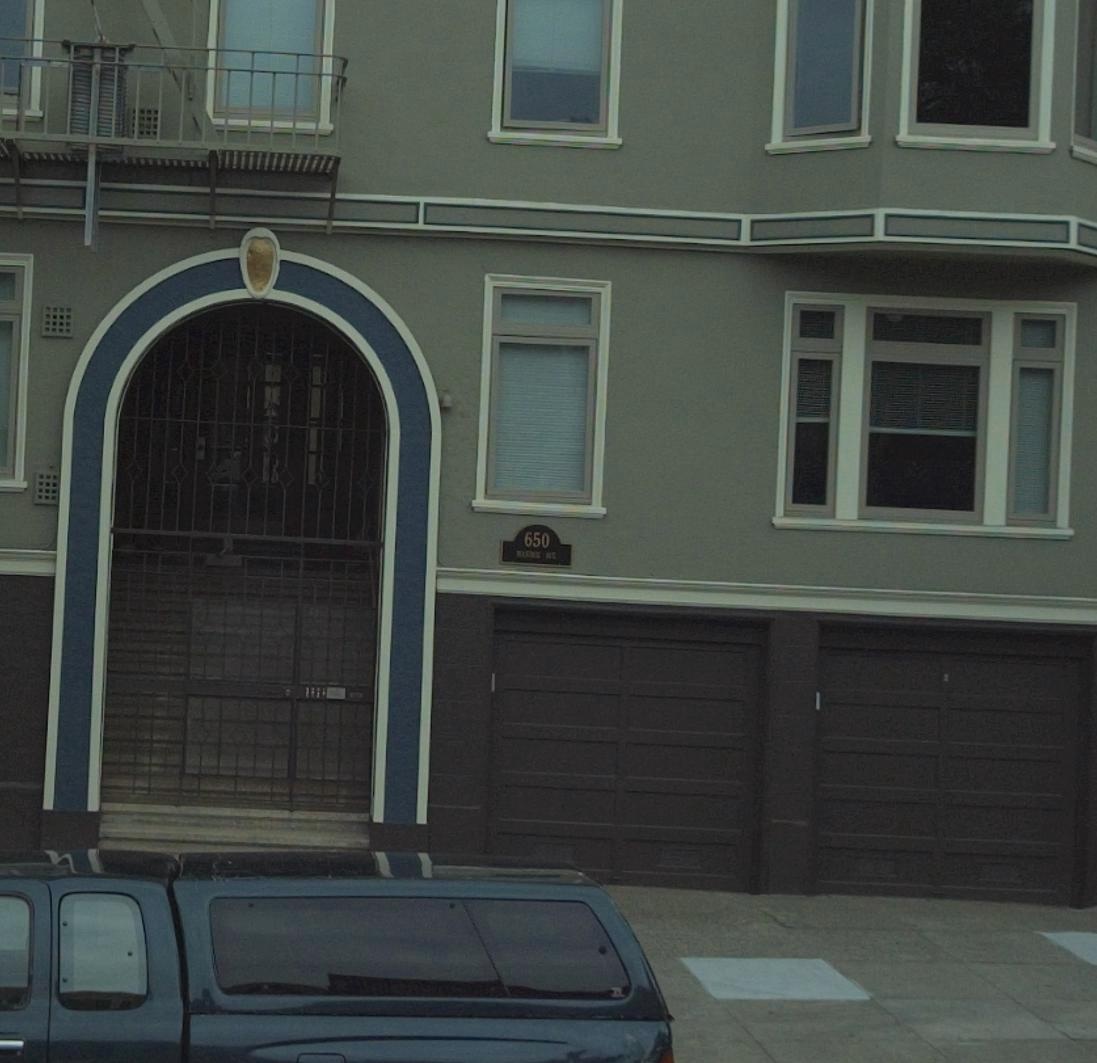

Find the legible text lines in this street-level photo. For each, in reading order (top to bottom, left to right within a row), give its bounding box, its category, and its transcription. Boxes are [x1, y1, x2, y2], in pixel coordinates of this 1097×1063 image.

[523, 531, 551, 549] StreetNumber: 650
[515, 550, 557, 560] StreetName: M*** ST.
[304, 686, 327, 699] None: 2***